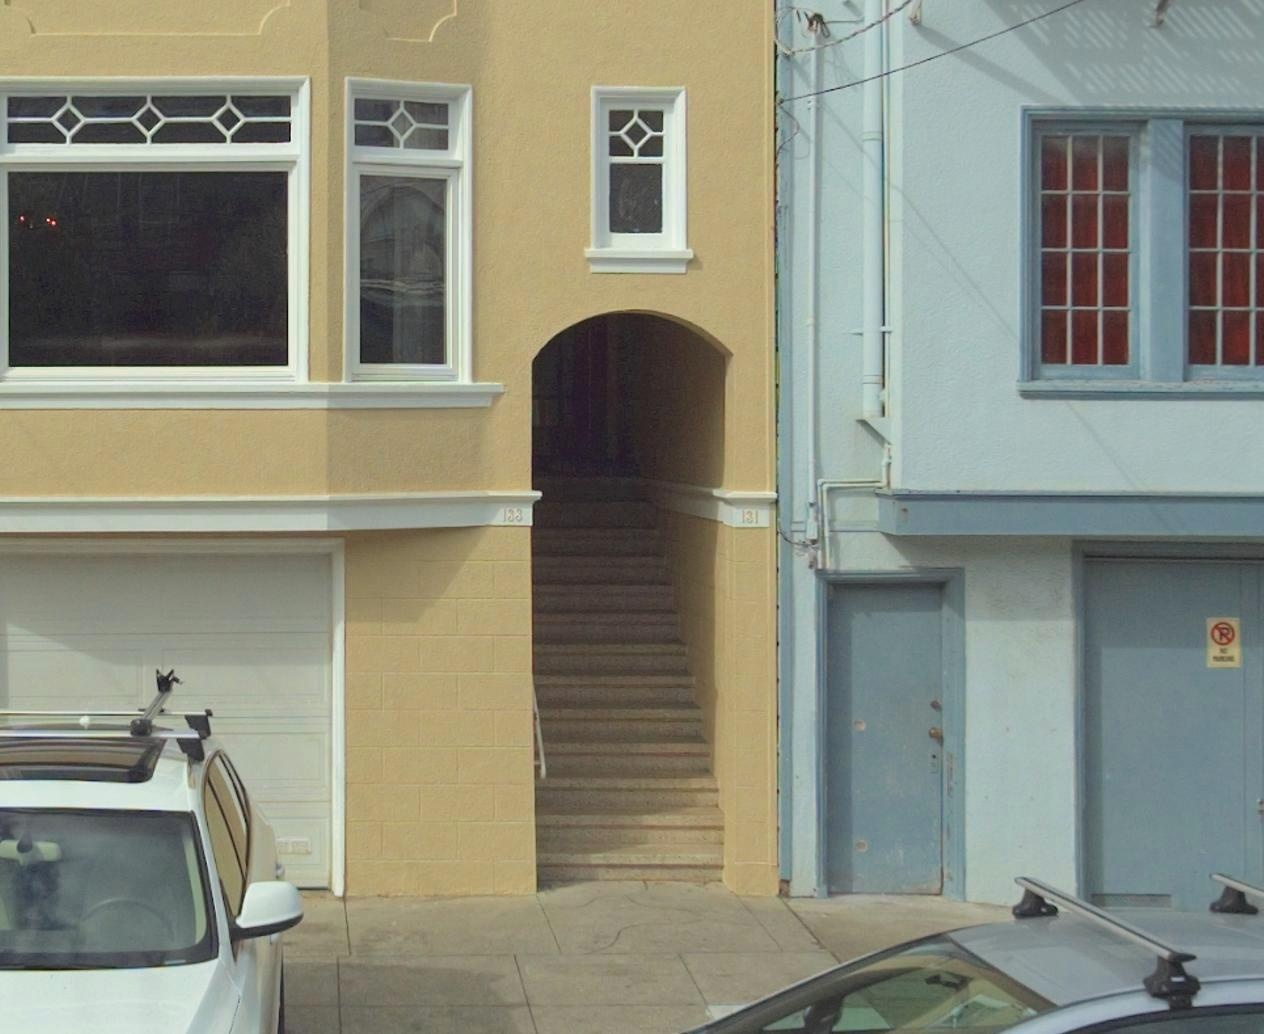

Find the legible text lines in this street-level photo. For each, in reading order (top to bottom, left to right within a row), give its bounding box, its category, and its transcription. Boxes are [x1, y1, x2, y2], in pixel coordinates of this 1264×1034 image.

[502, 507, 524, 523] StreetNumber: 133
[740, 509, 760, 525] StreetNumber: 131